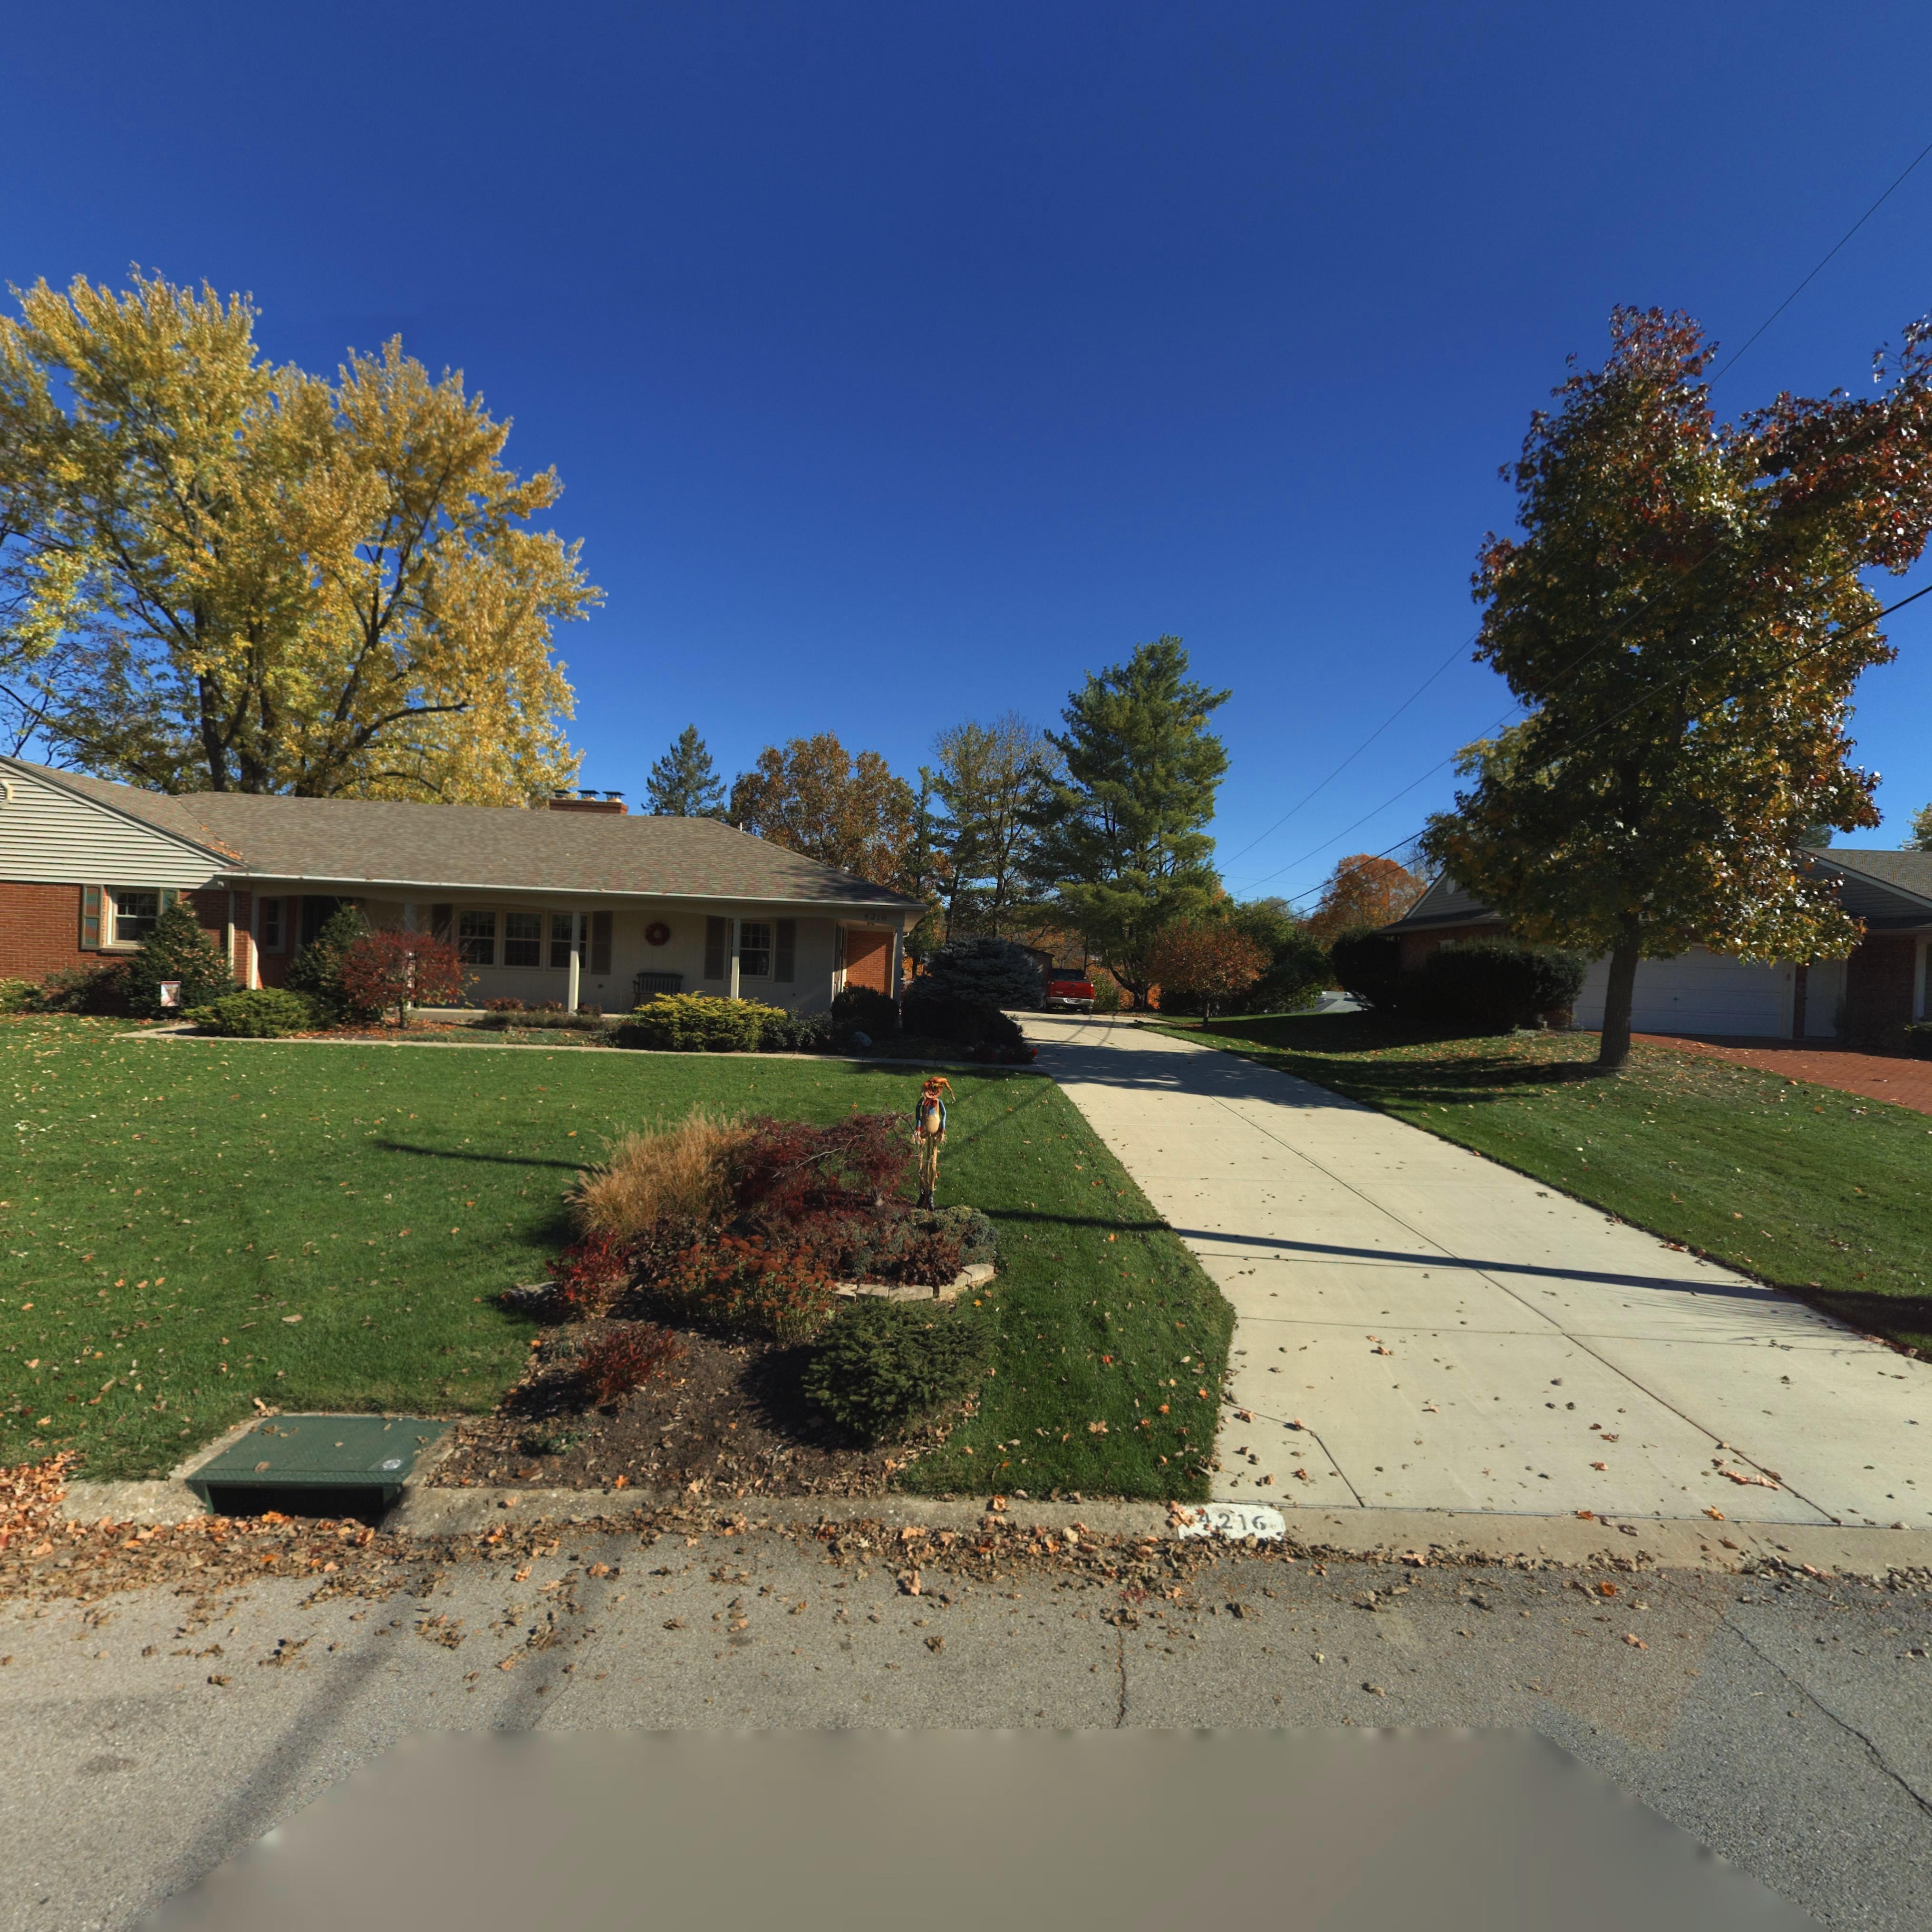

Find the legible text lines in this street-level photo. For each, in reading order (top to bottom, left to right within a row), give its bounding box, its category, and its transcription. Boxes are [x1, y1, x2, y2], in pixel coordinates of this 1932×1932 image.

[862, 912, 888, 921] StreetNumber: 4216
[1195, 1510, 1267, 1532] StreetNumber: 4216